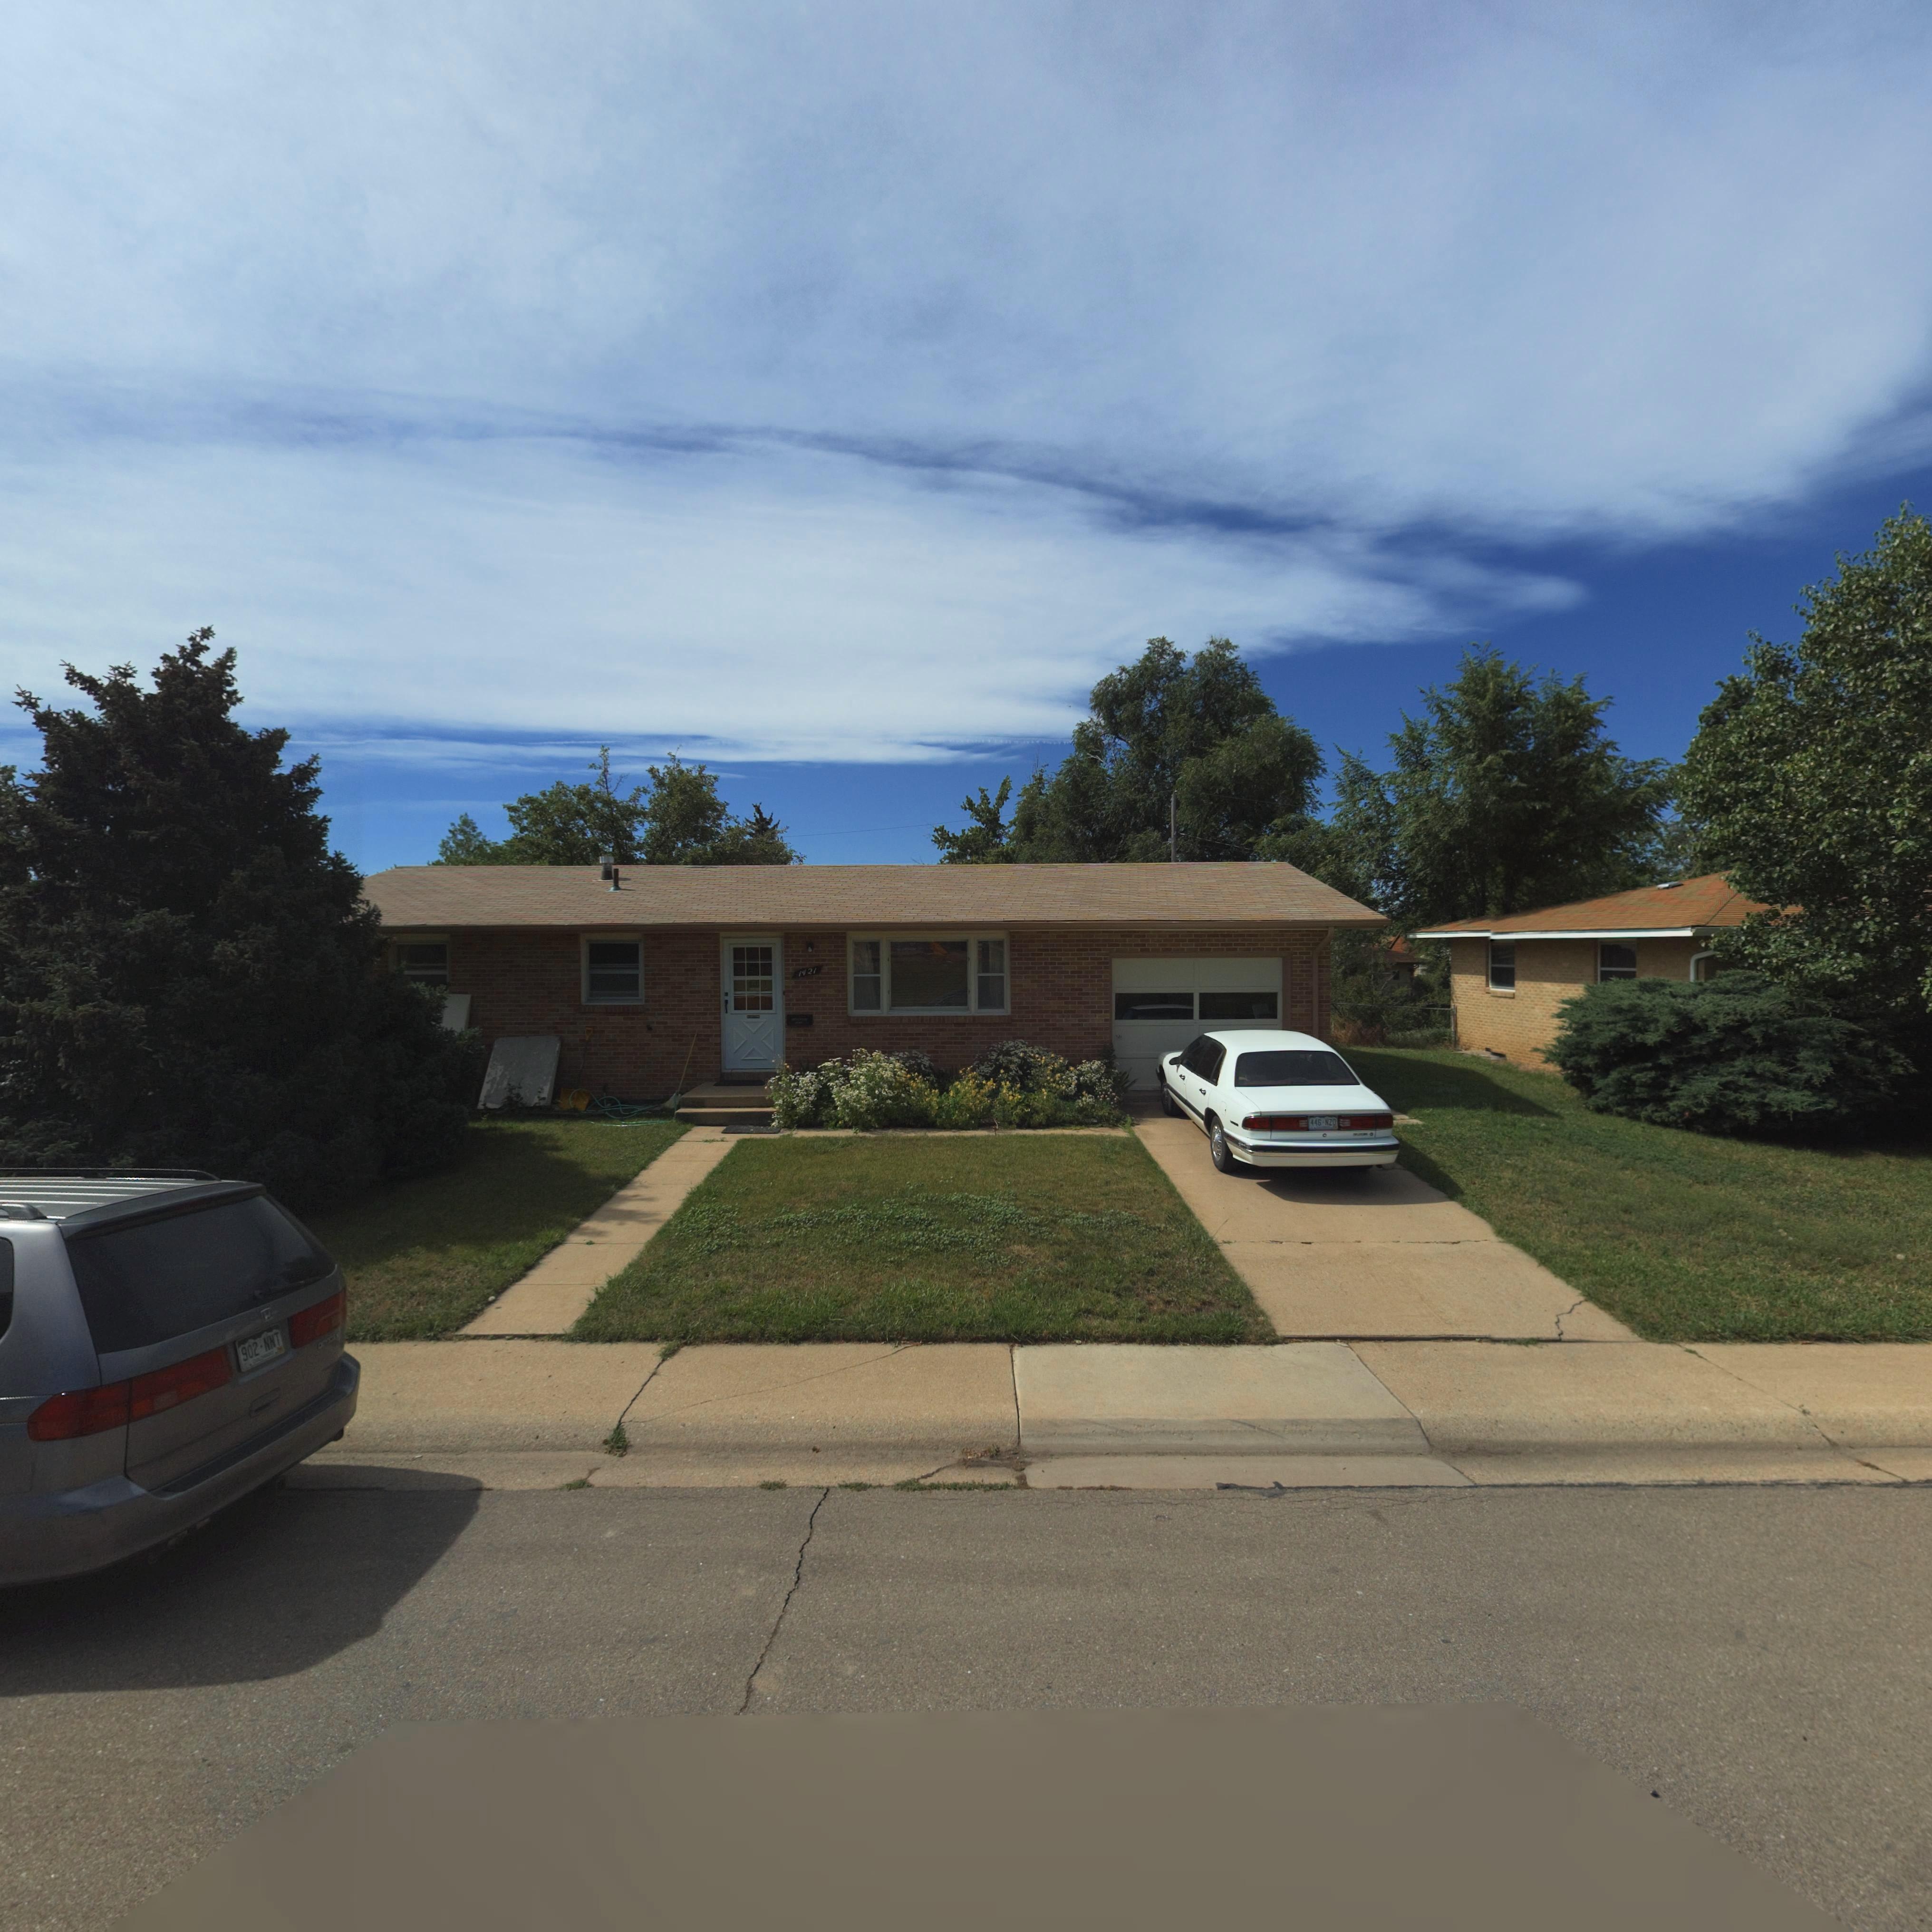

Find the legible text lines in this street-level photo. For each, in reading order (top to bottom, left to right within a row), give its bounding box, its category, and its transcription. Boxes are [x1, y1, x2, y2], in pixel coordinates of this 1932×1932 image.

[798, 967, 817, 977] StreetNumber: 1421